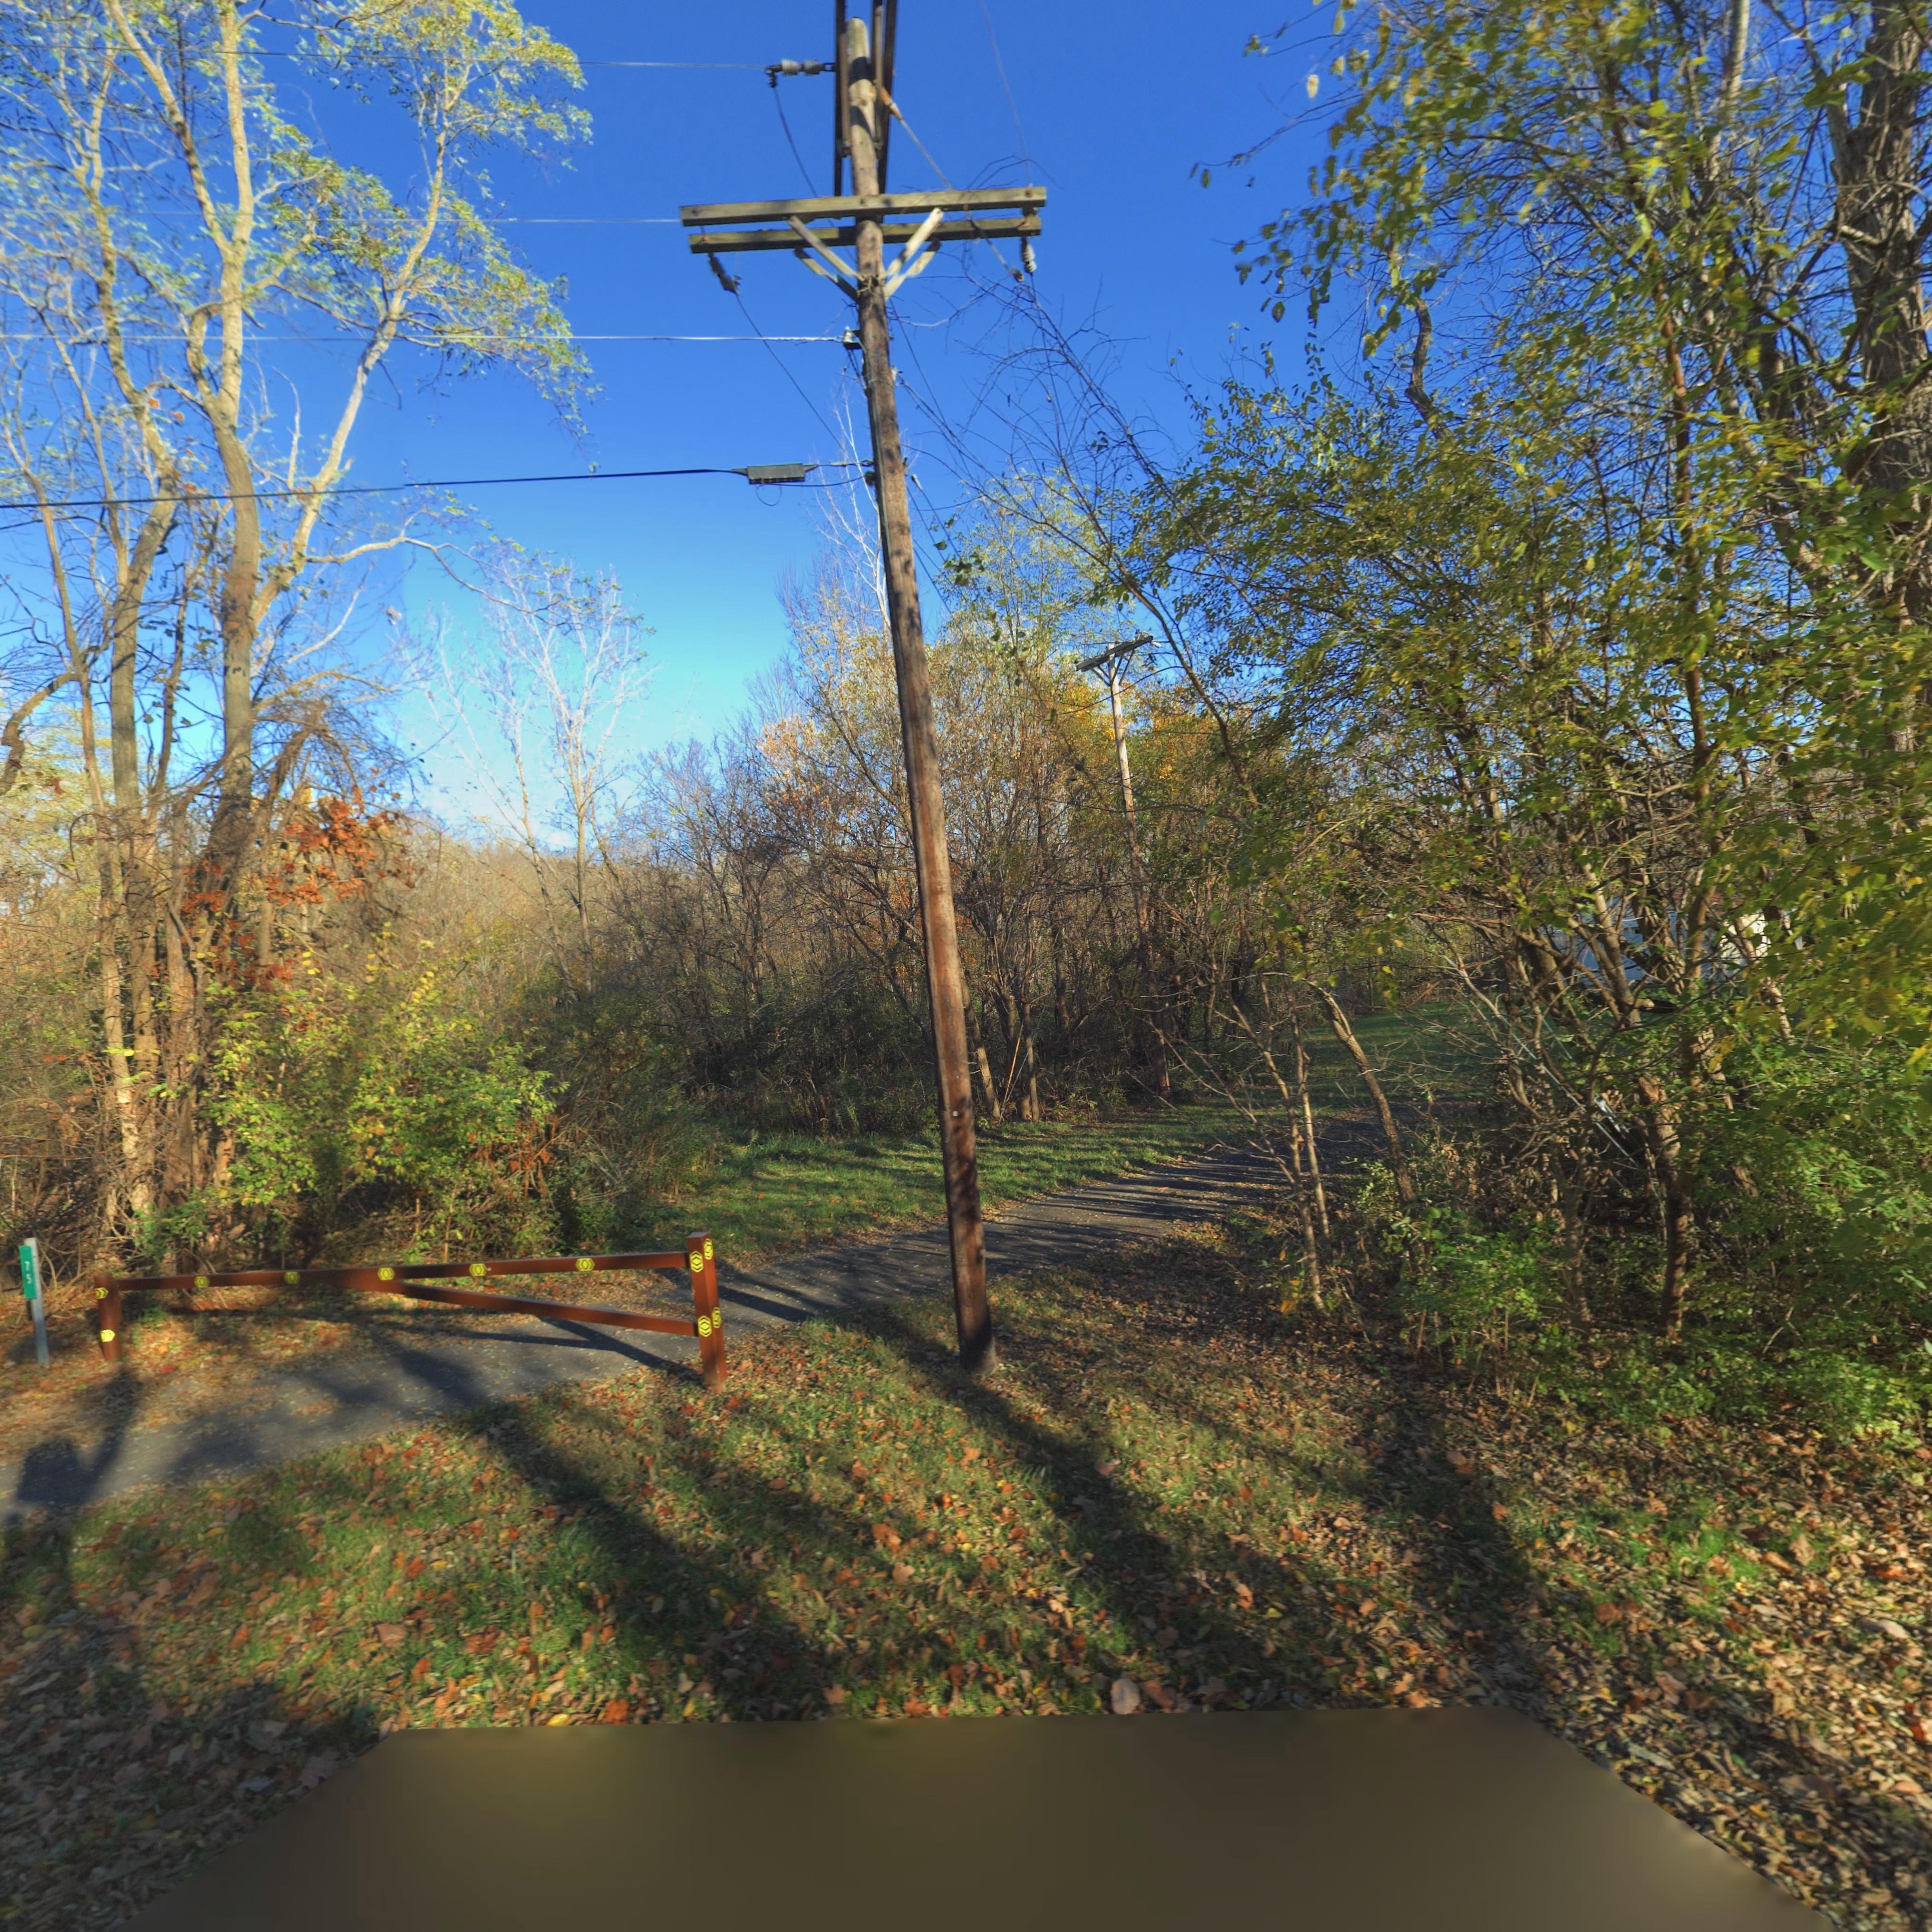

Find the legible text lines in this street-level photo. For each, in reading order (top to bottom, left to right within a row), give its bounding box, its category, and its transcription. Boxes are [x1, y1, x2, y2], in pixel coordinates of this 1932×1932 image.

[23, 1260, 33, 1285] StreetNumber: 75